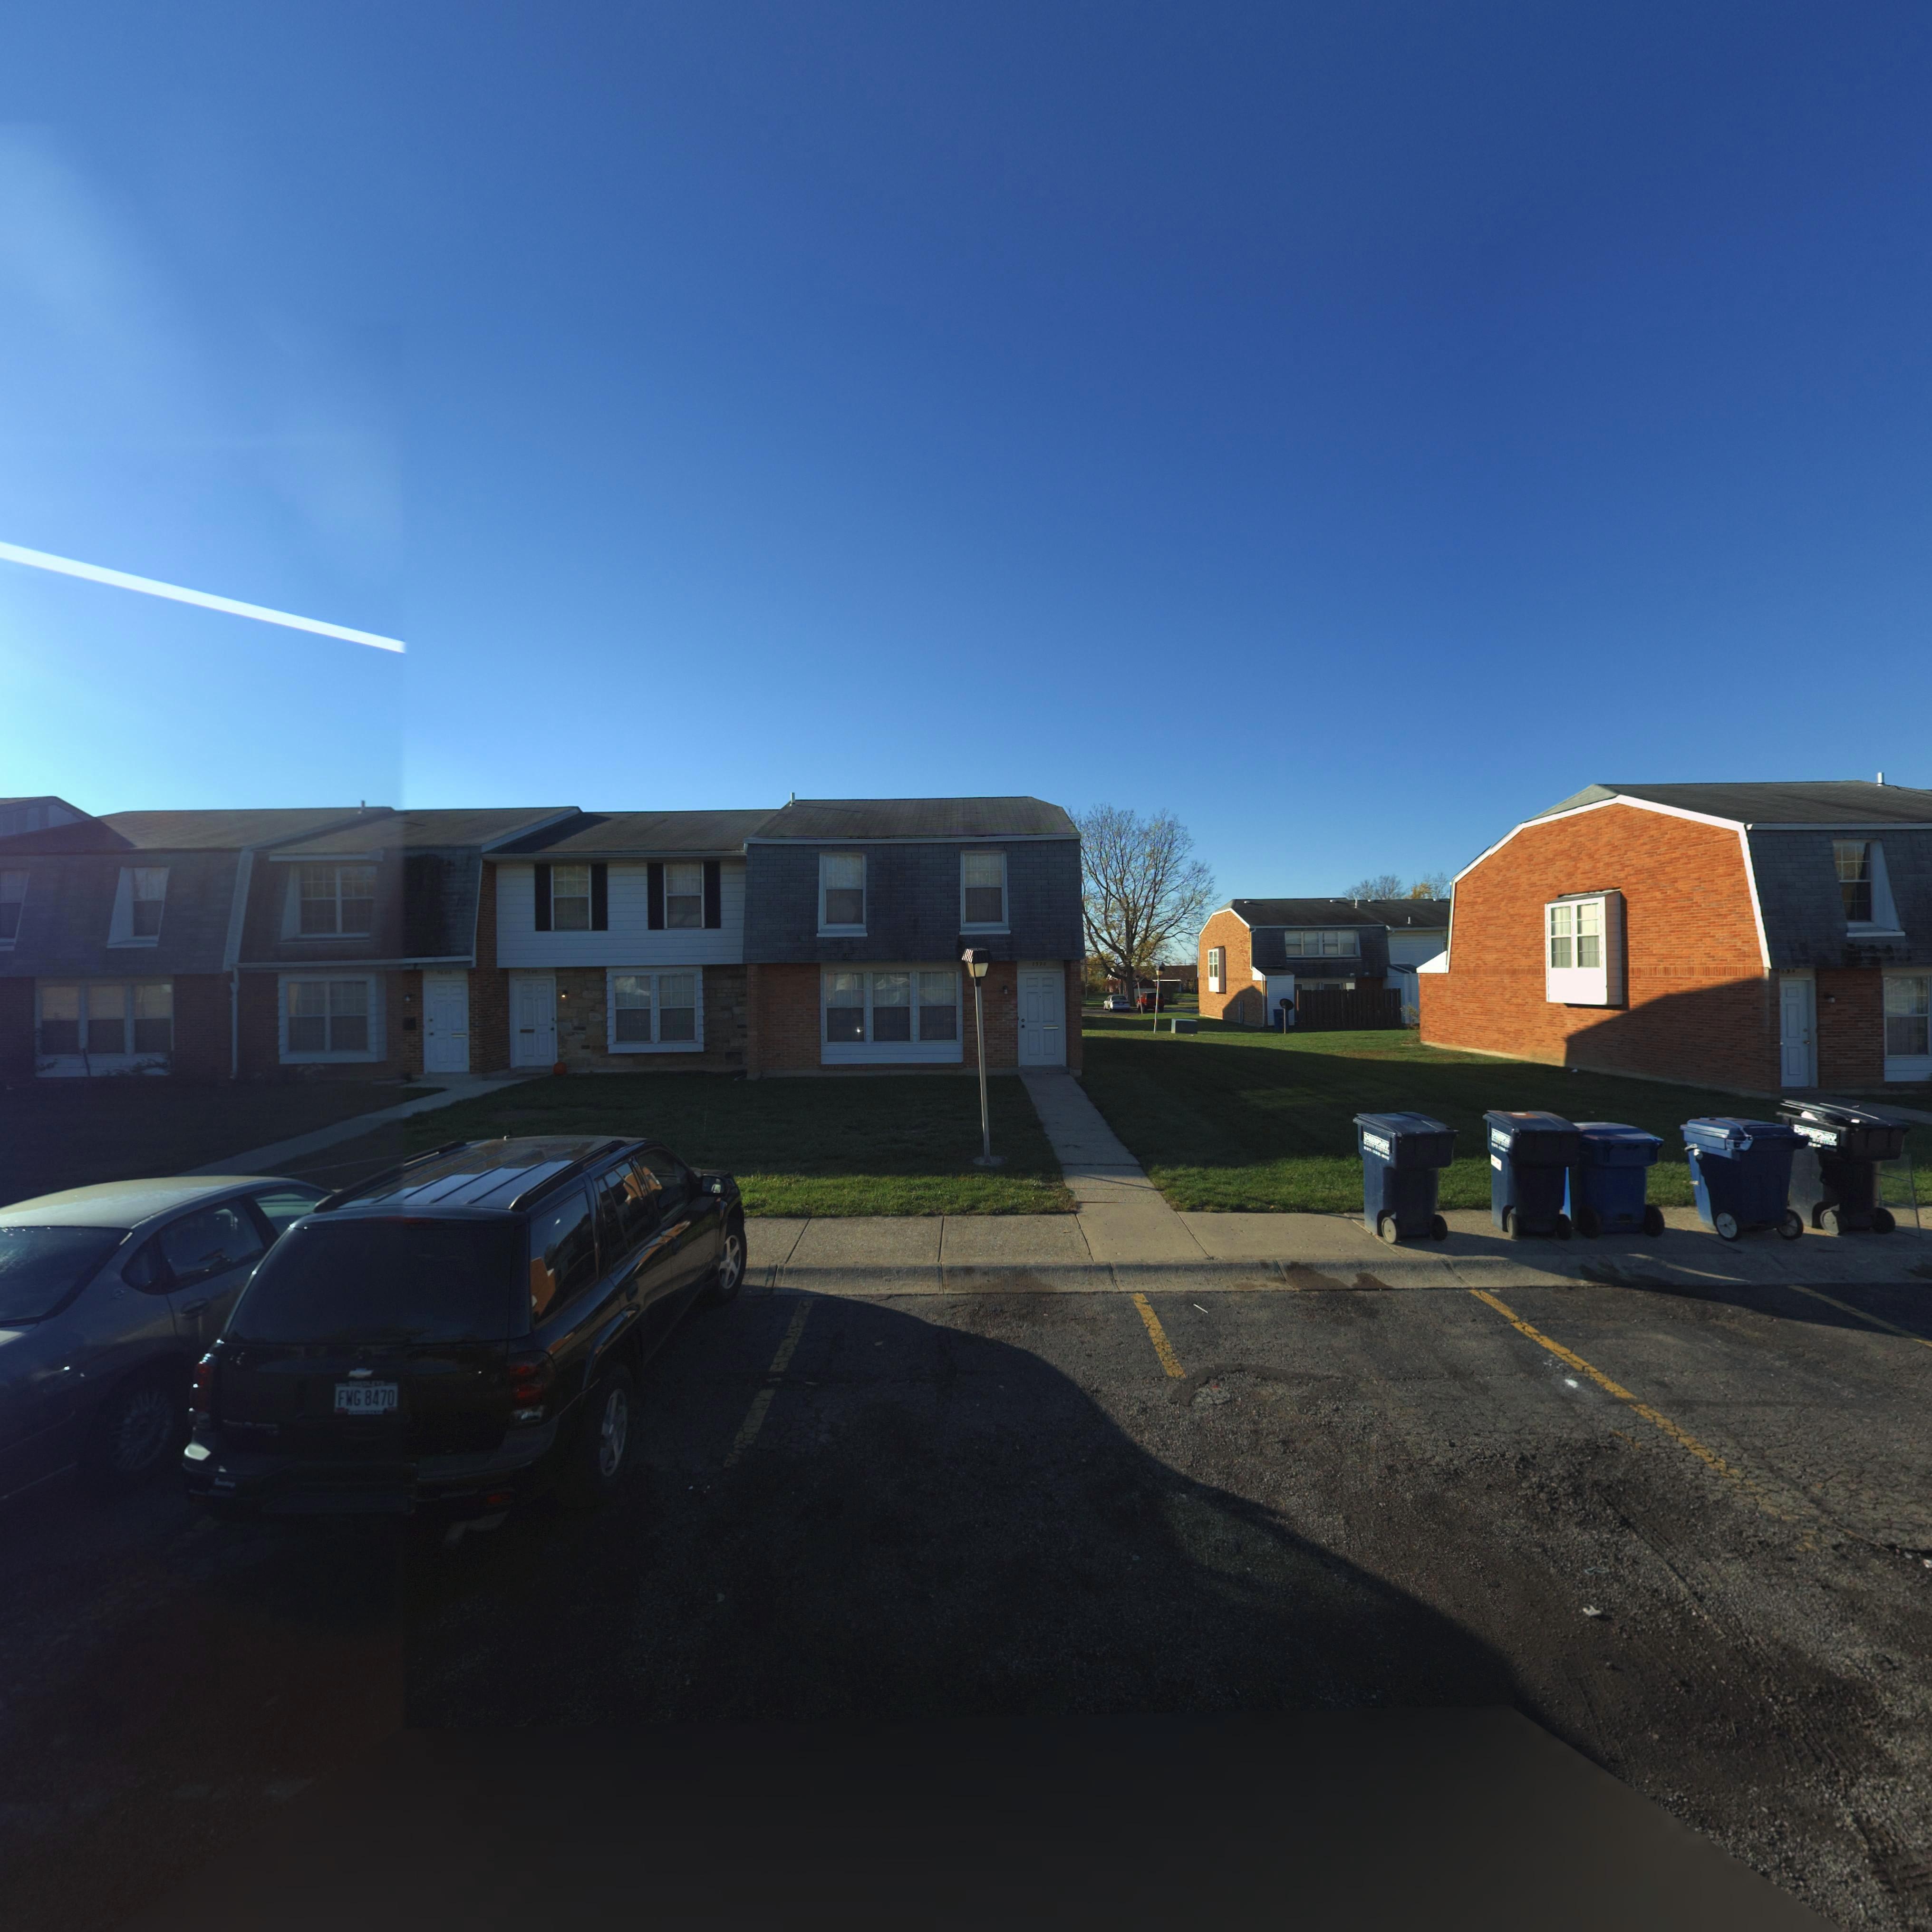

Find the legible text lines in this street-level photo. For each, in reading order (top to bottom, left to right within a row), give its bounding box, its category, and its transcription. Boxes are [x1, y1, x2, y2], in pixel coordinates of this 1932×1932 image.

[1031, 961, 1047, 967] StreetNumber: 7598
[436, 969, 453, 975] StreetNumber: 76*2
[523, 968, 538, 975] StreetNumber: 76**
[1780, 968, 1797, 975] StreetNumber: *94